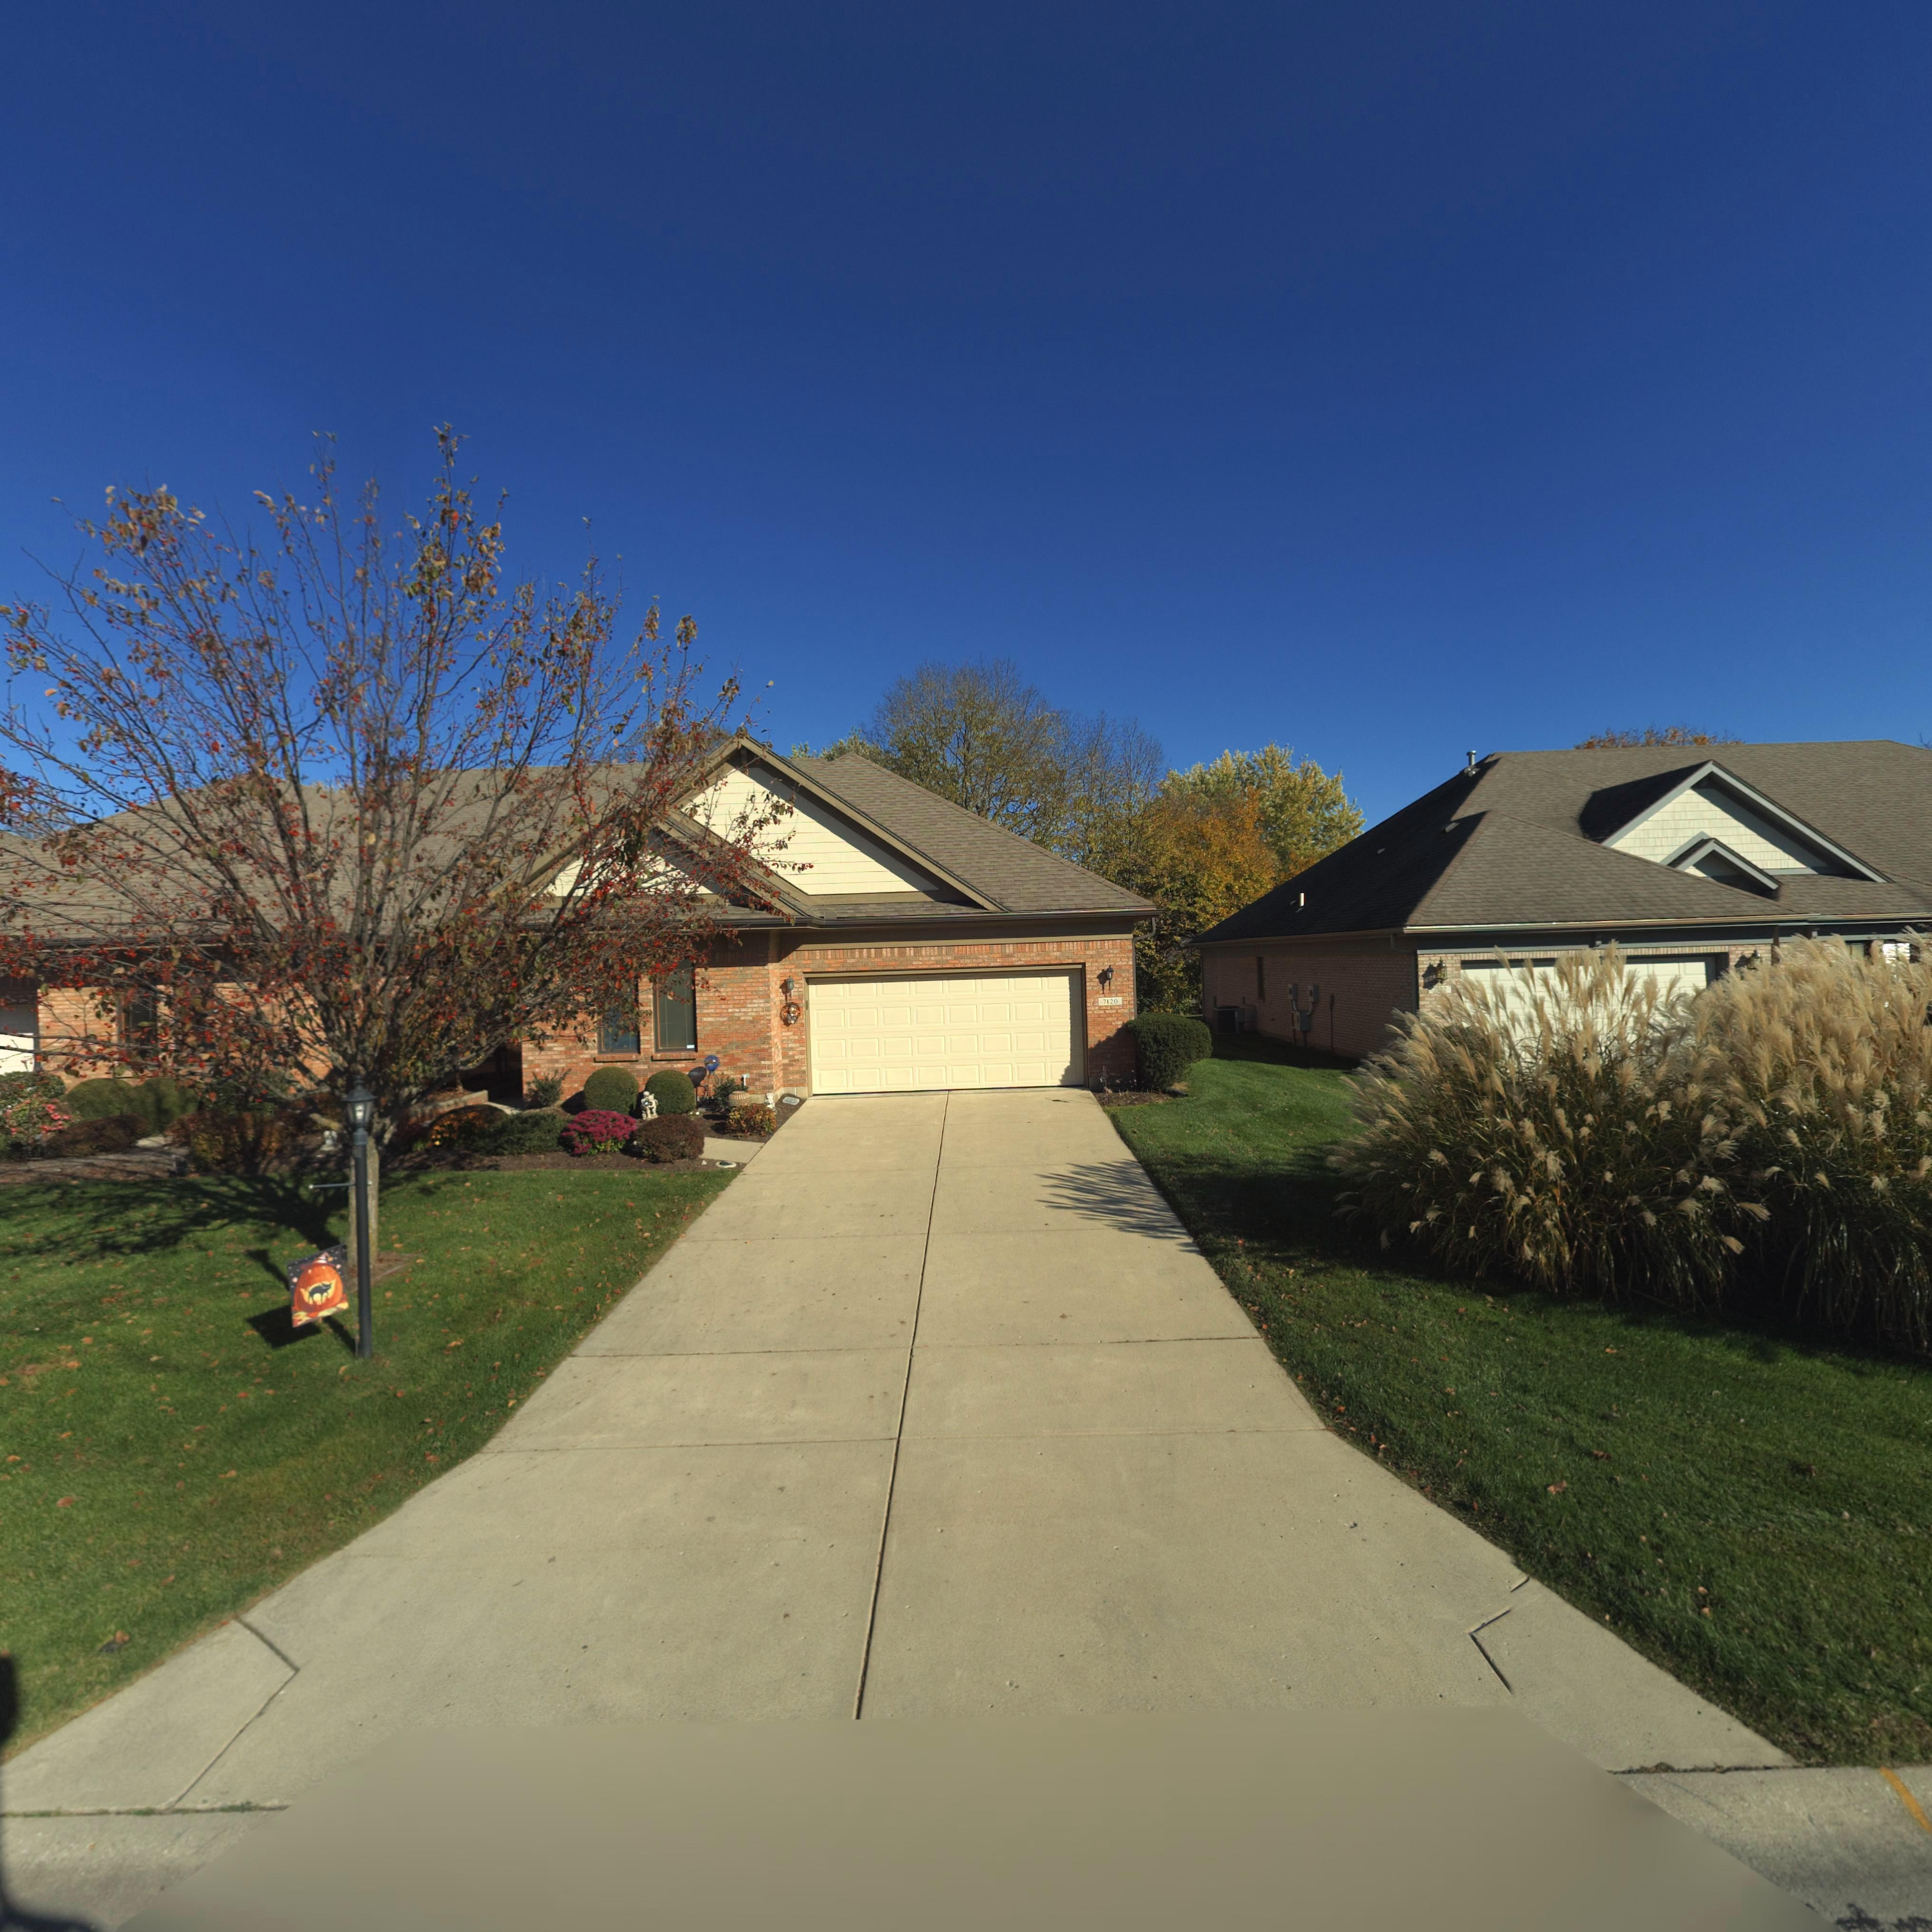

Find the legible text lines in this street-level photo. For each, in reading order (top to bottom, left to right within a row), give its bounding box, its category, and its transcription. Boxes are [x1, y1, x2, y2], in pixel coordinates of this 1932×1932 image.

[1102, 998, 1119, 1005] StreetNumber: 7120